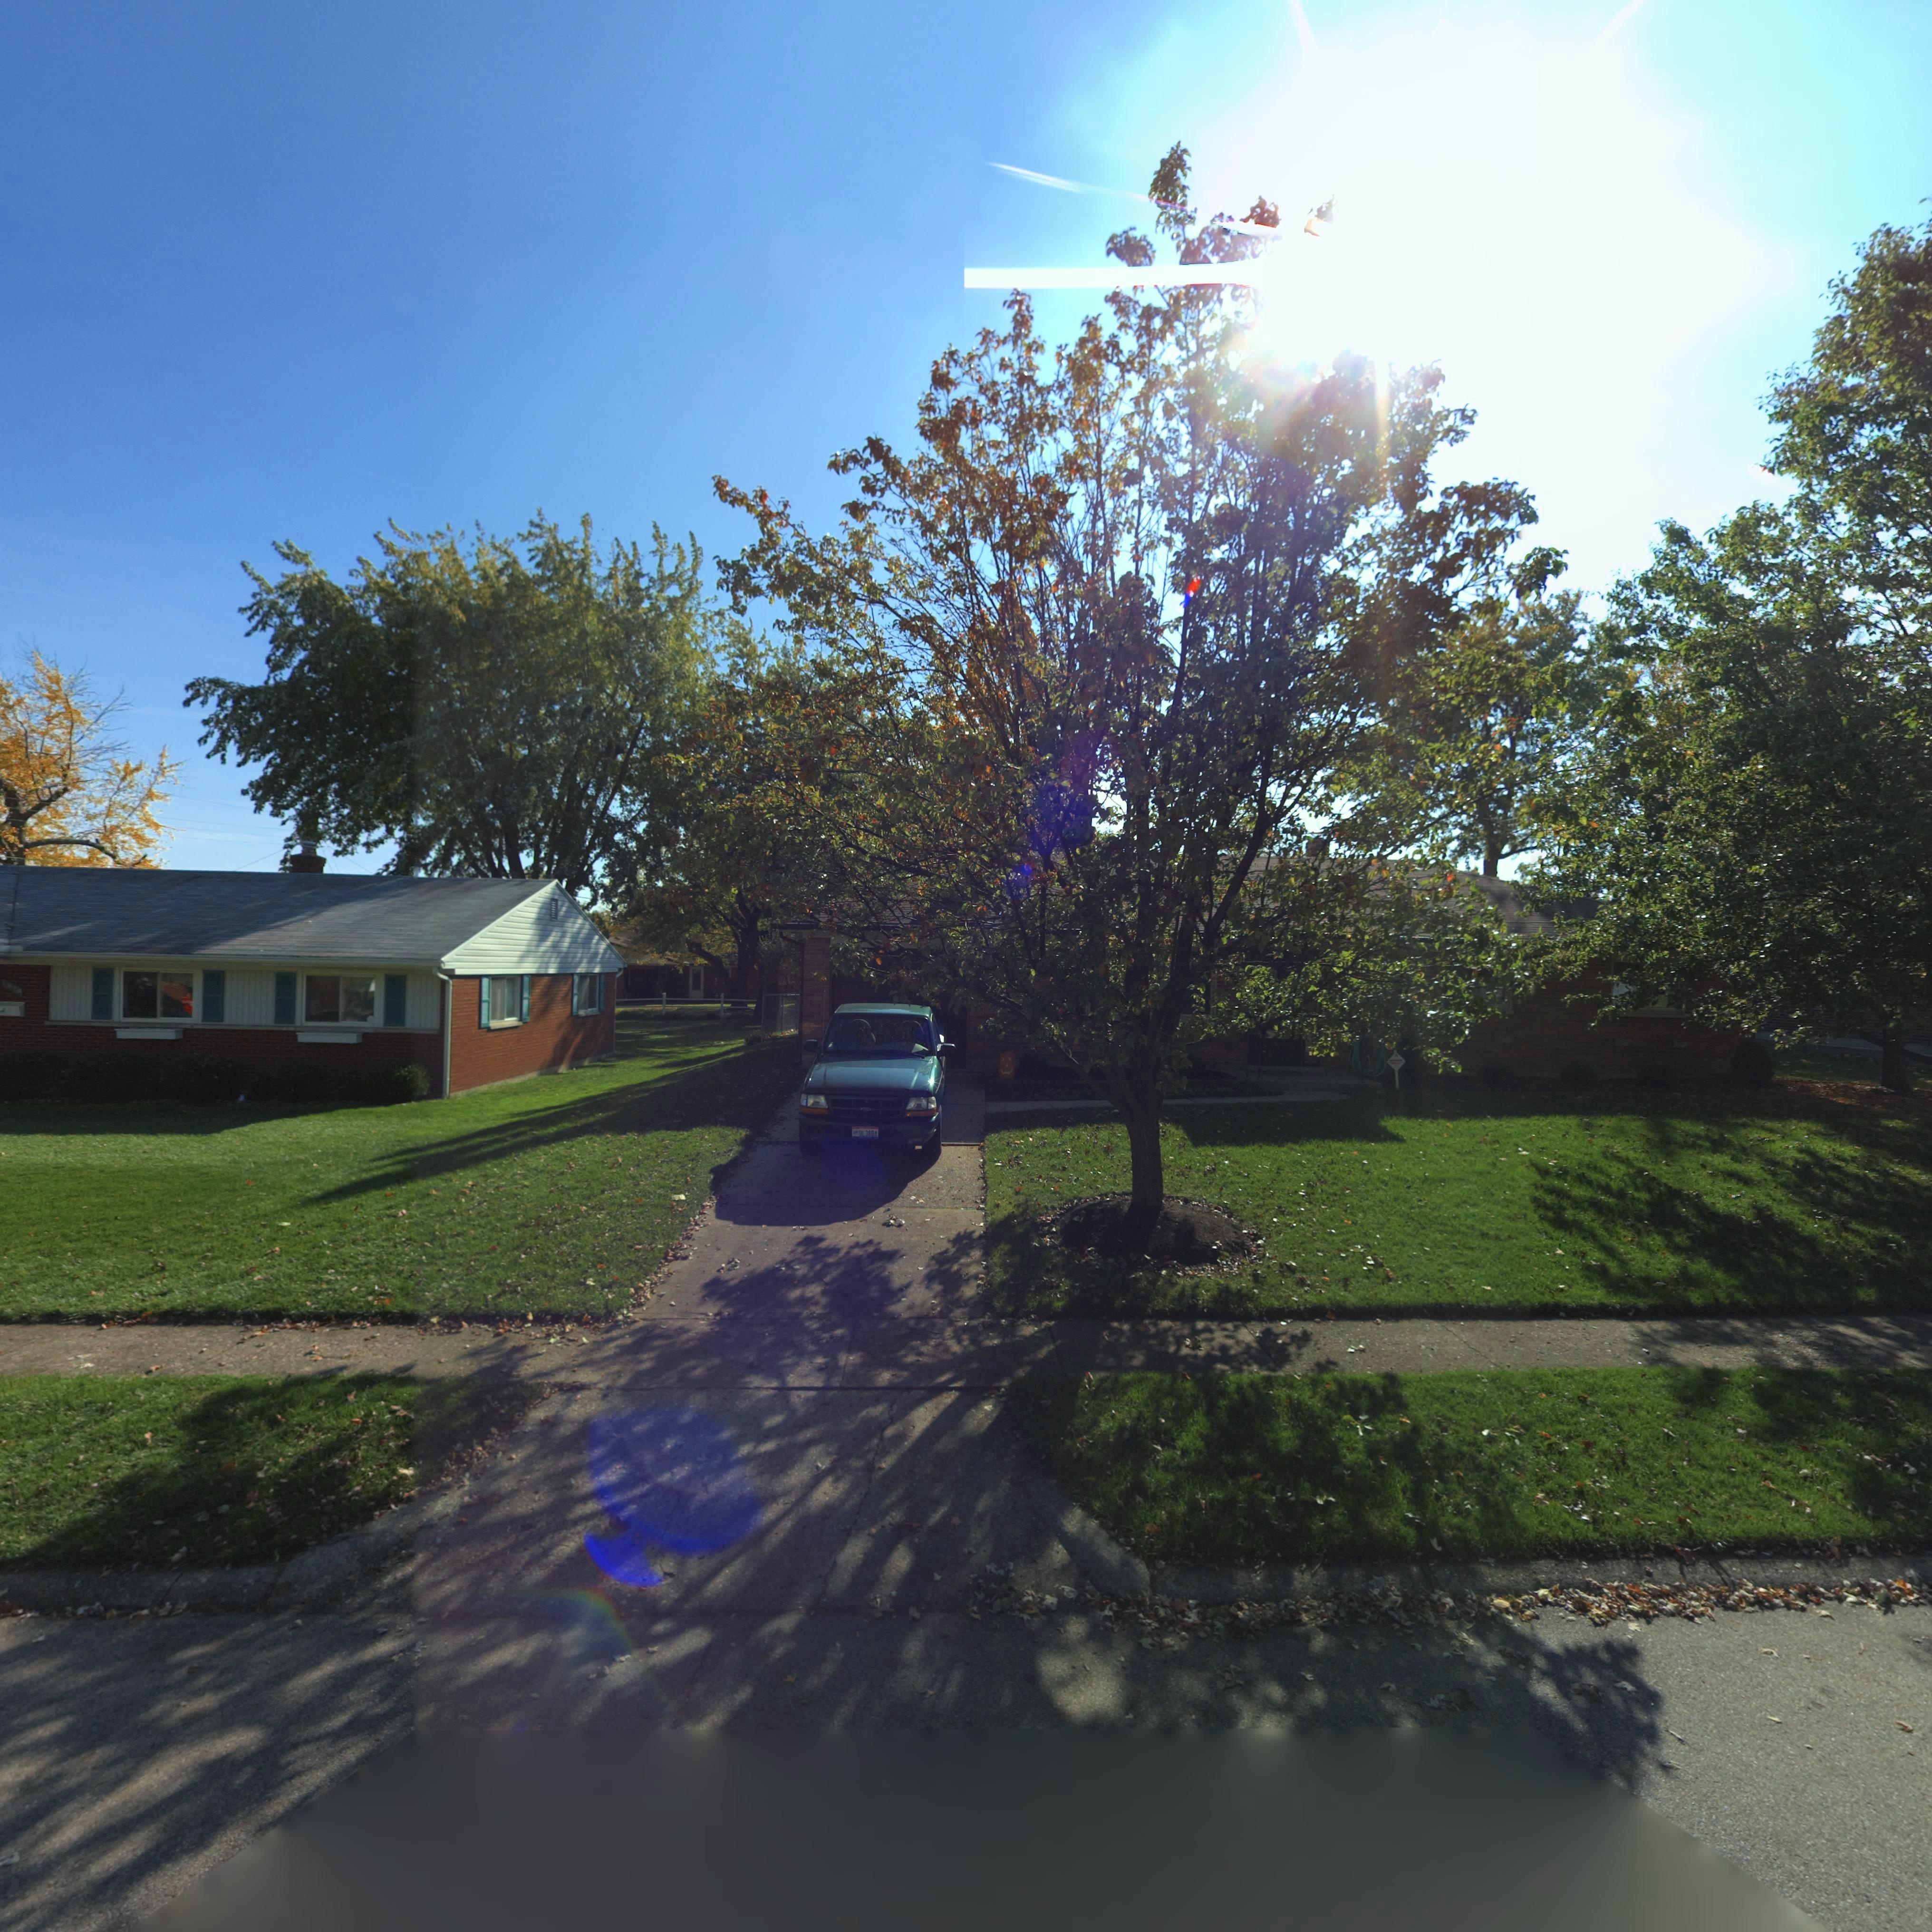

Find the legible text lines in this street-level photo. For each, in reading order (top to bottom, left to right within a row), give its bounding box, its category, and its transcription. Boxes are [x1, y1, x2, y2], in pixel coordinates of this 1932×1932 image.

[858, 1129, 878, 1137] None: DL38BA